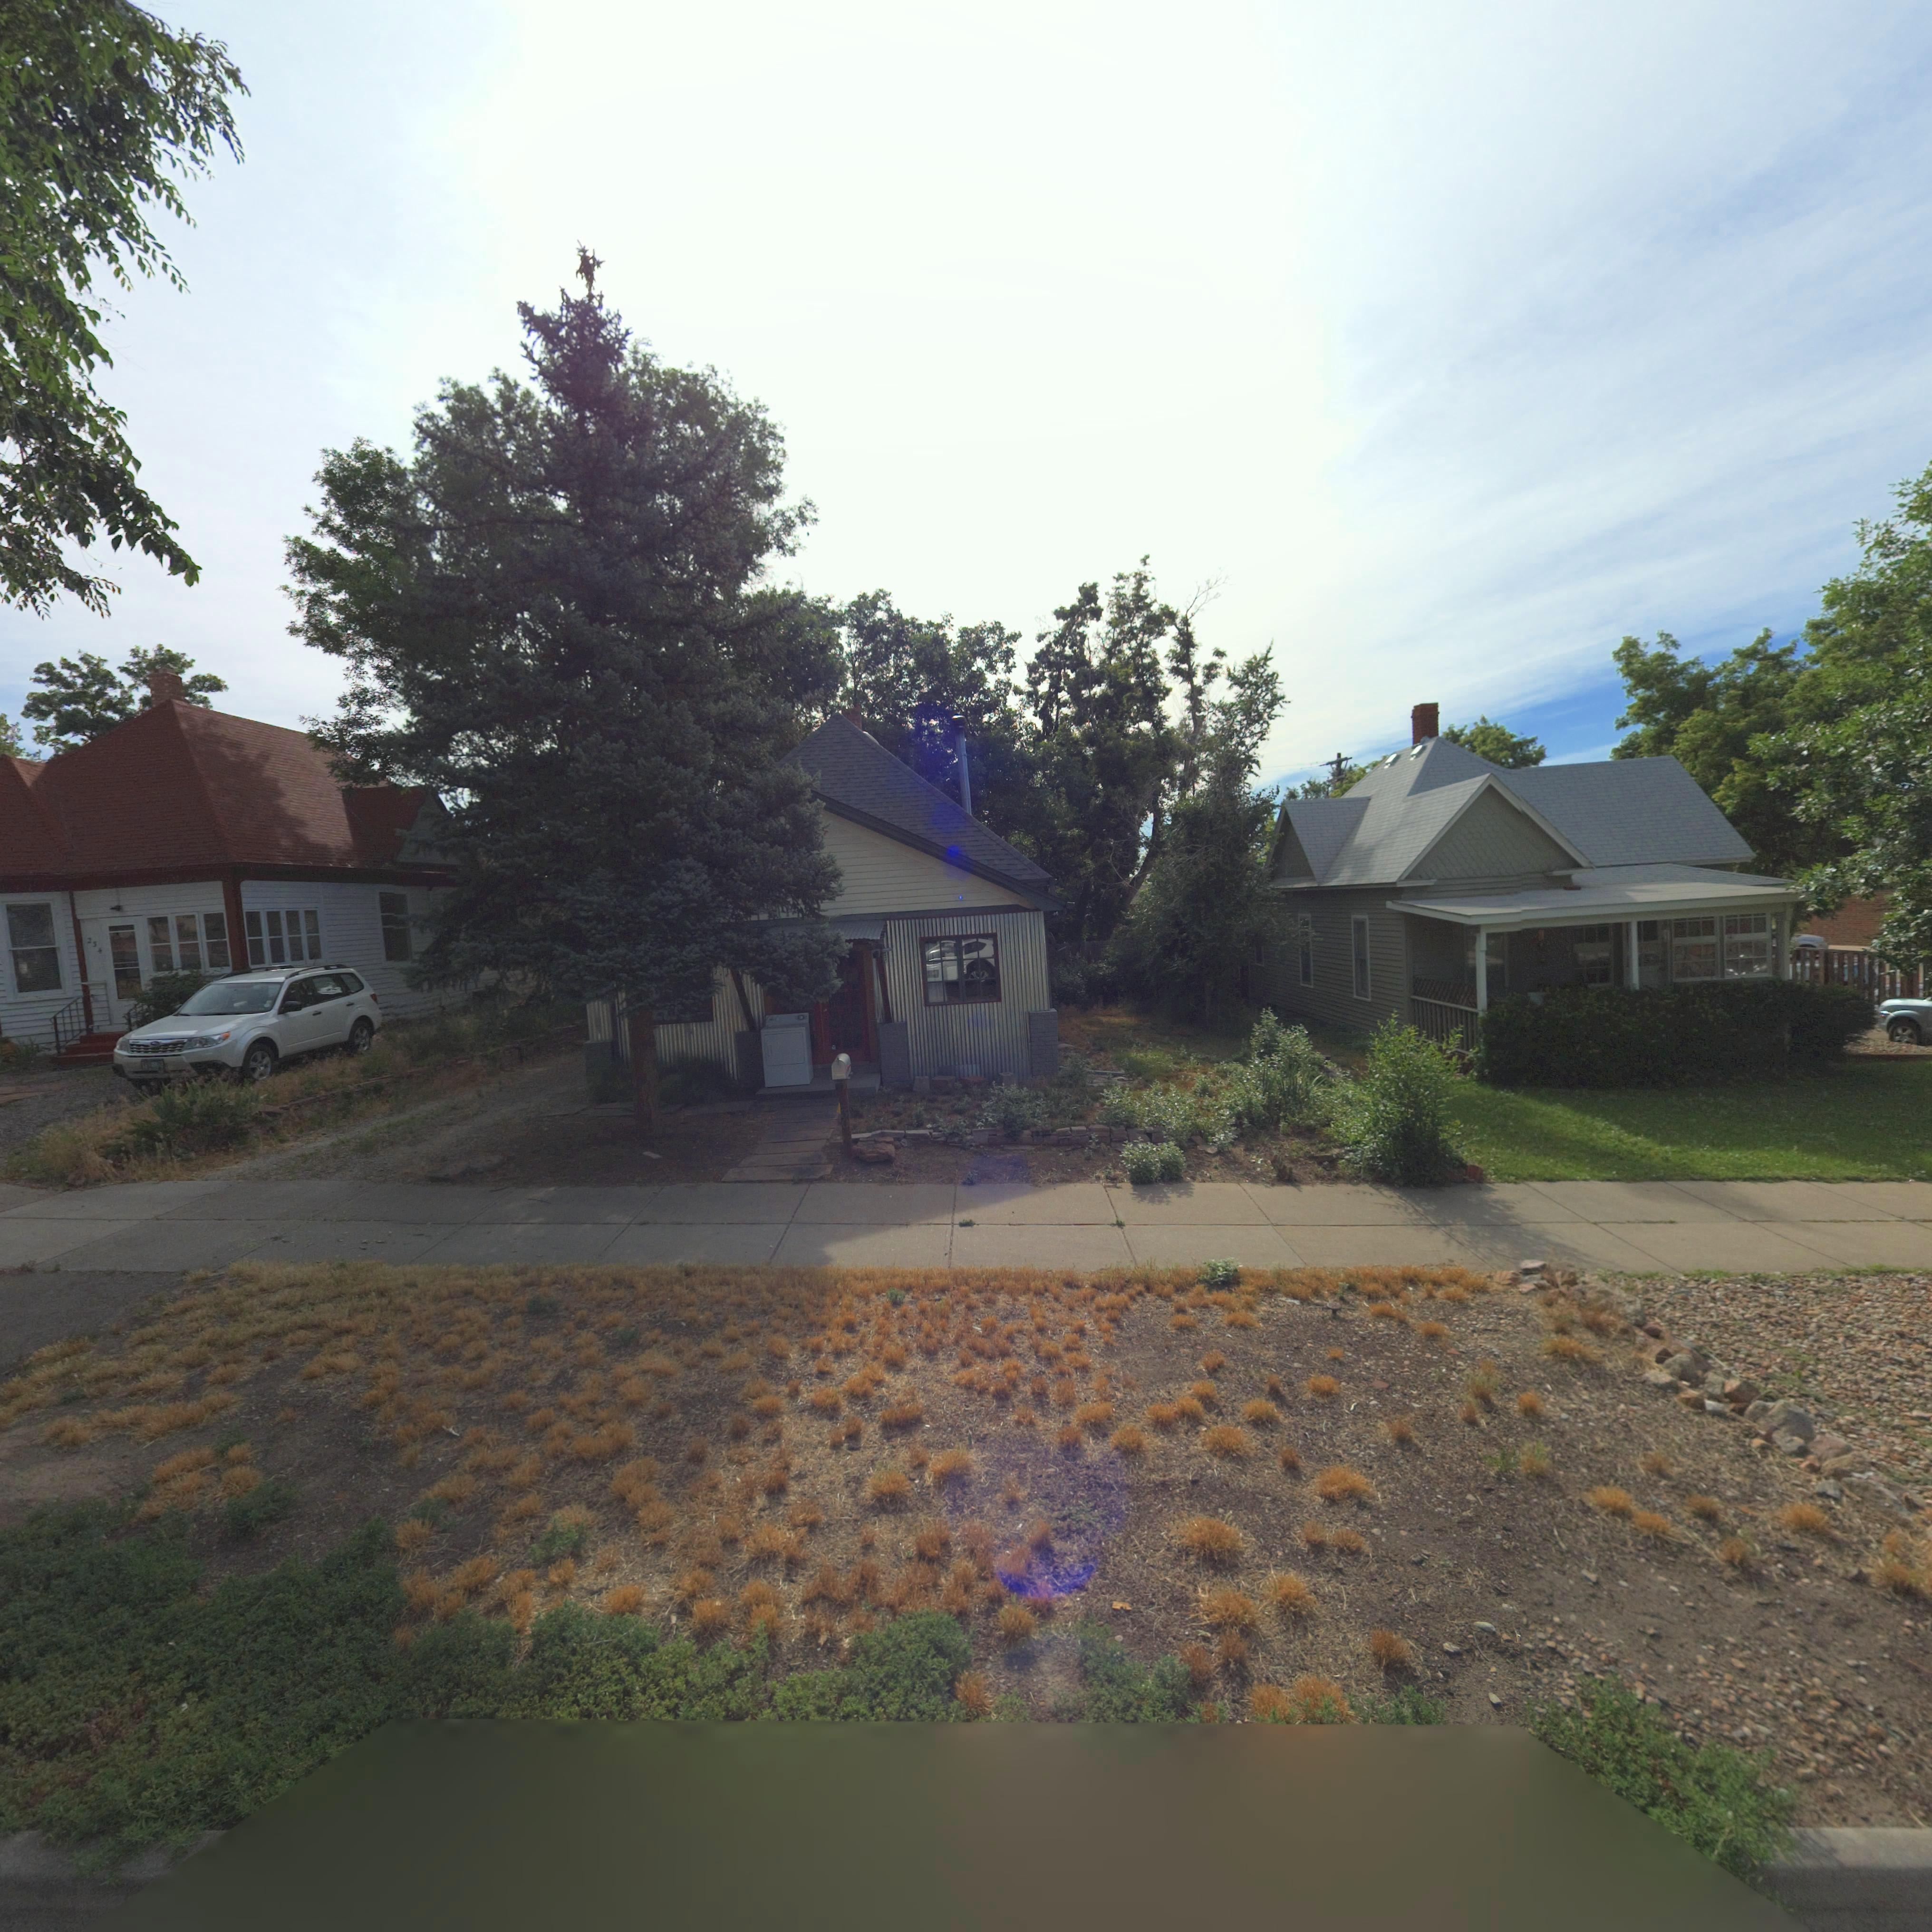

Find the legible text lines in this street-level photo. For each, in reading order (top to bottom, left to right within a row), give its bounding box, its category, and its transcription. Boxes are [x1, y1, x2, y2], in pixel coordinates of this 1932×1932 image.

[87, 937, 103, 954] StreetNumber: 254